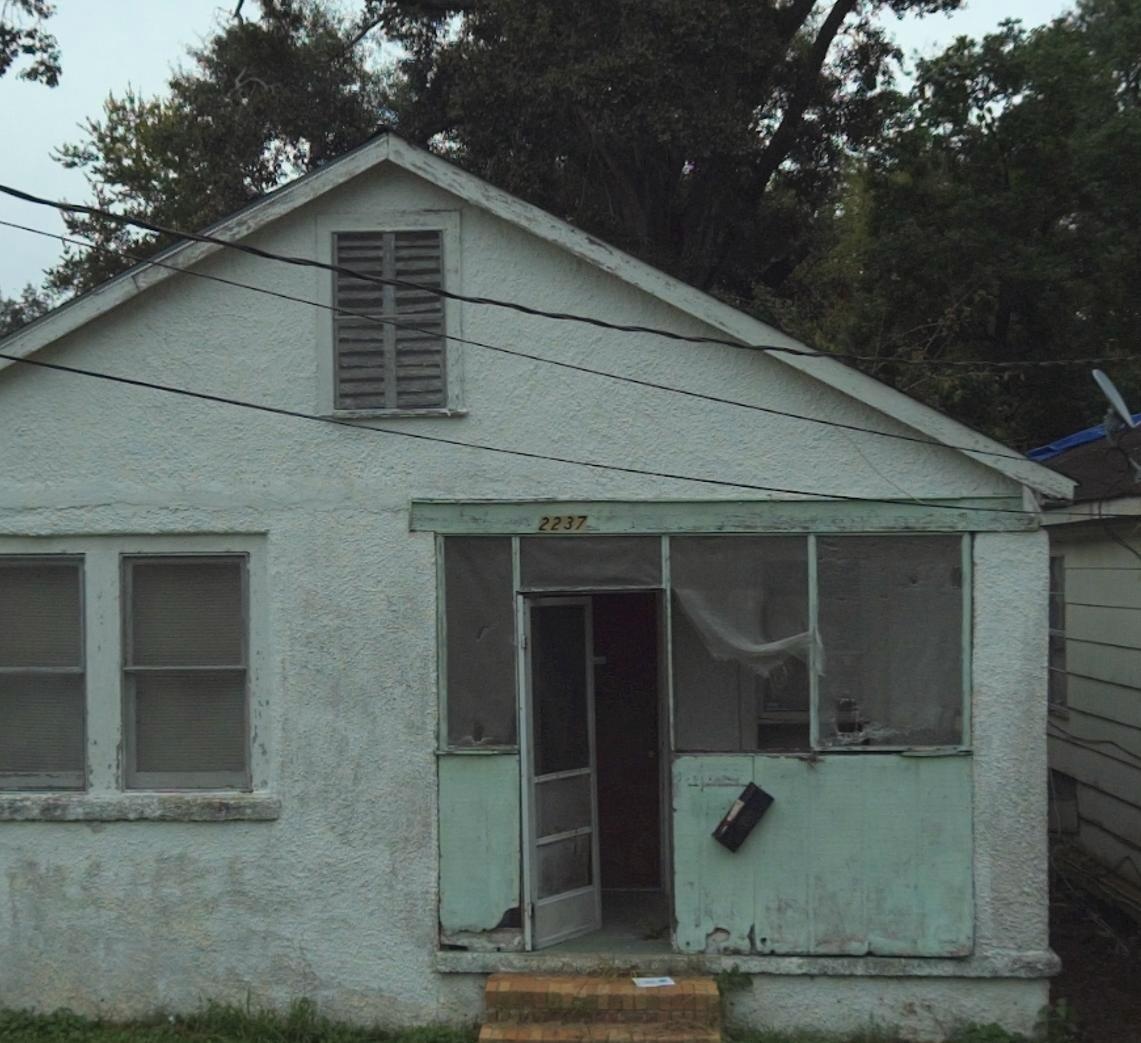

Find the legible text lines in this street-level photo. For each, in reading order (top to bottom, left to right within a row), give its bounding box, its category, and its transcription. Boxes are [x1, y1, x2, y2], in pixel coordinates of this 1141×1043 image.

[536, 515, 590, 531] StreetNumber: 2237